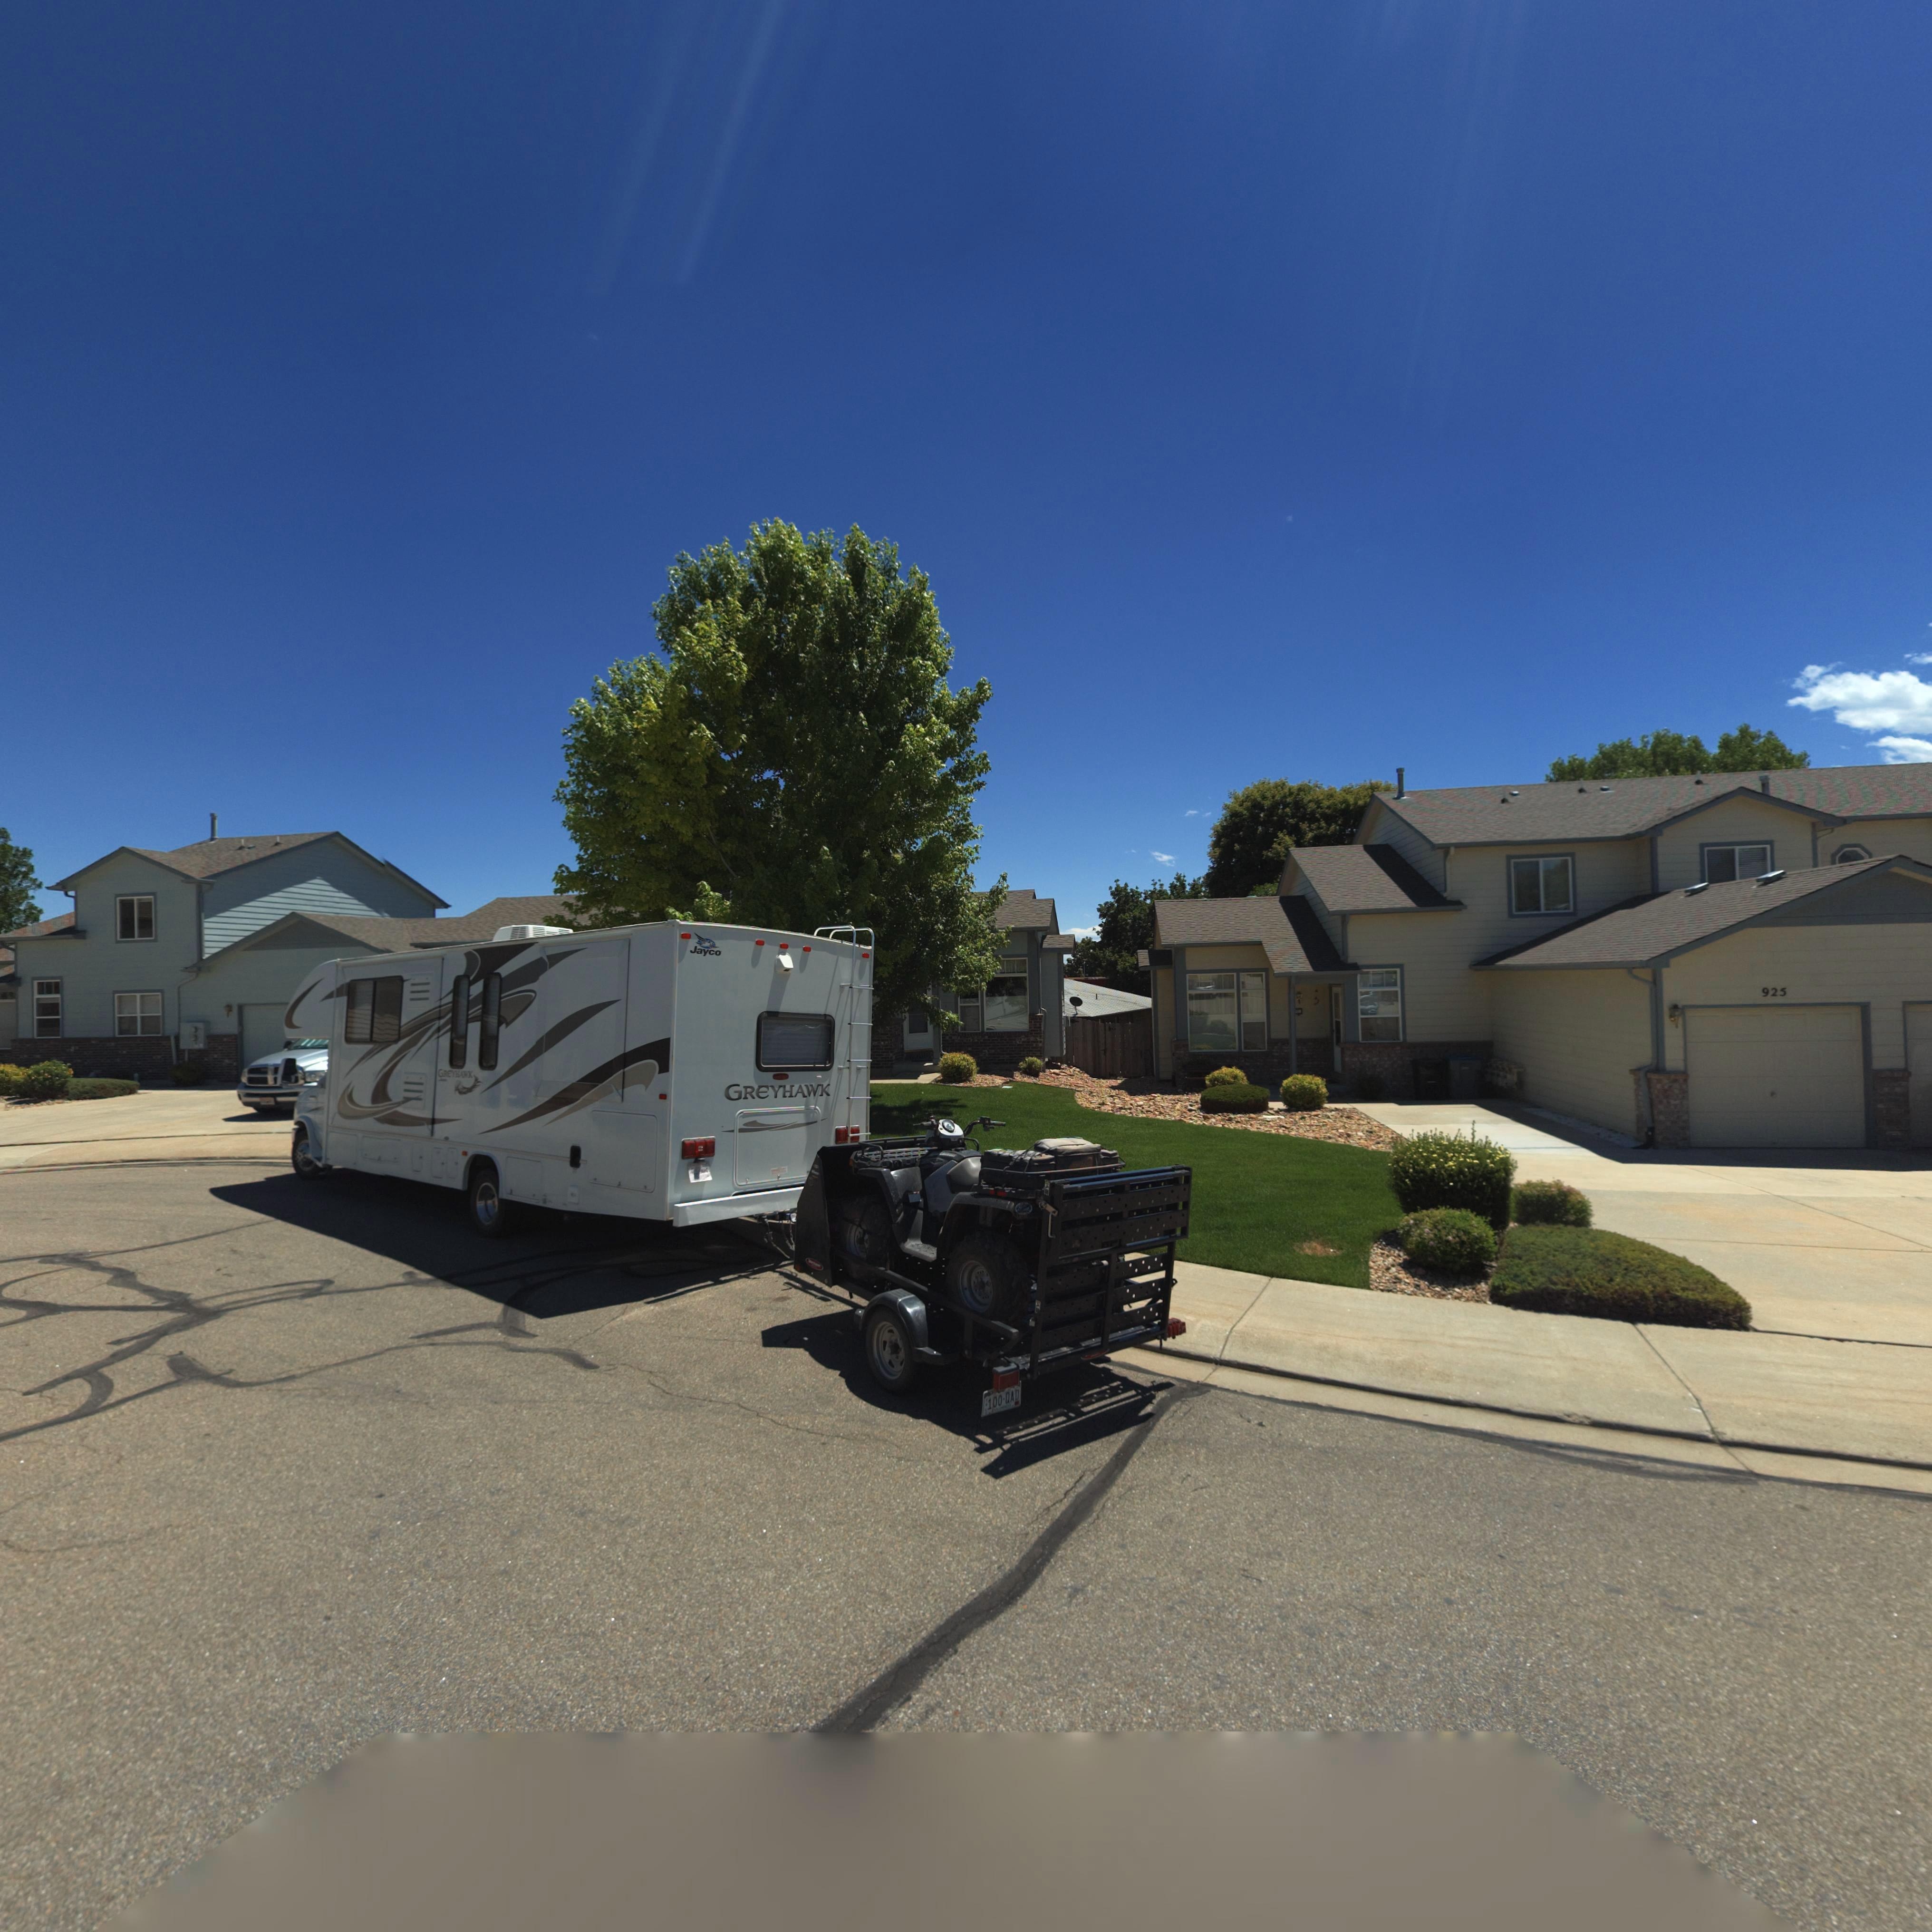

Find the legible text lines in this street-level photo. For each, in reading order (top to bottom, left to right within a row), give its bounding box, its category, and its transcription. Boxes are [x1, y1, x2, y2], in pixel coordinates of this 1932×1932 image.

[1761, 986, 1787, 997] StreetNumber: 925